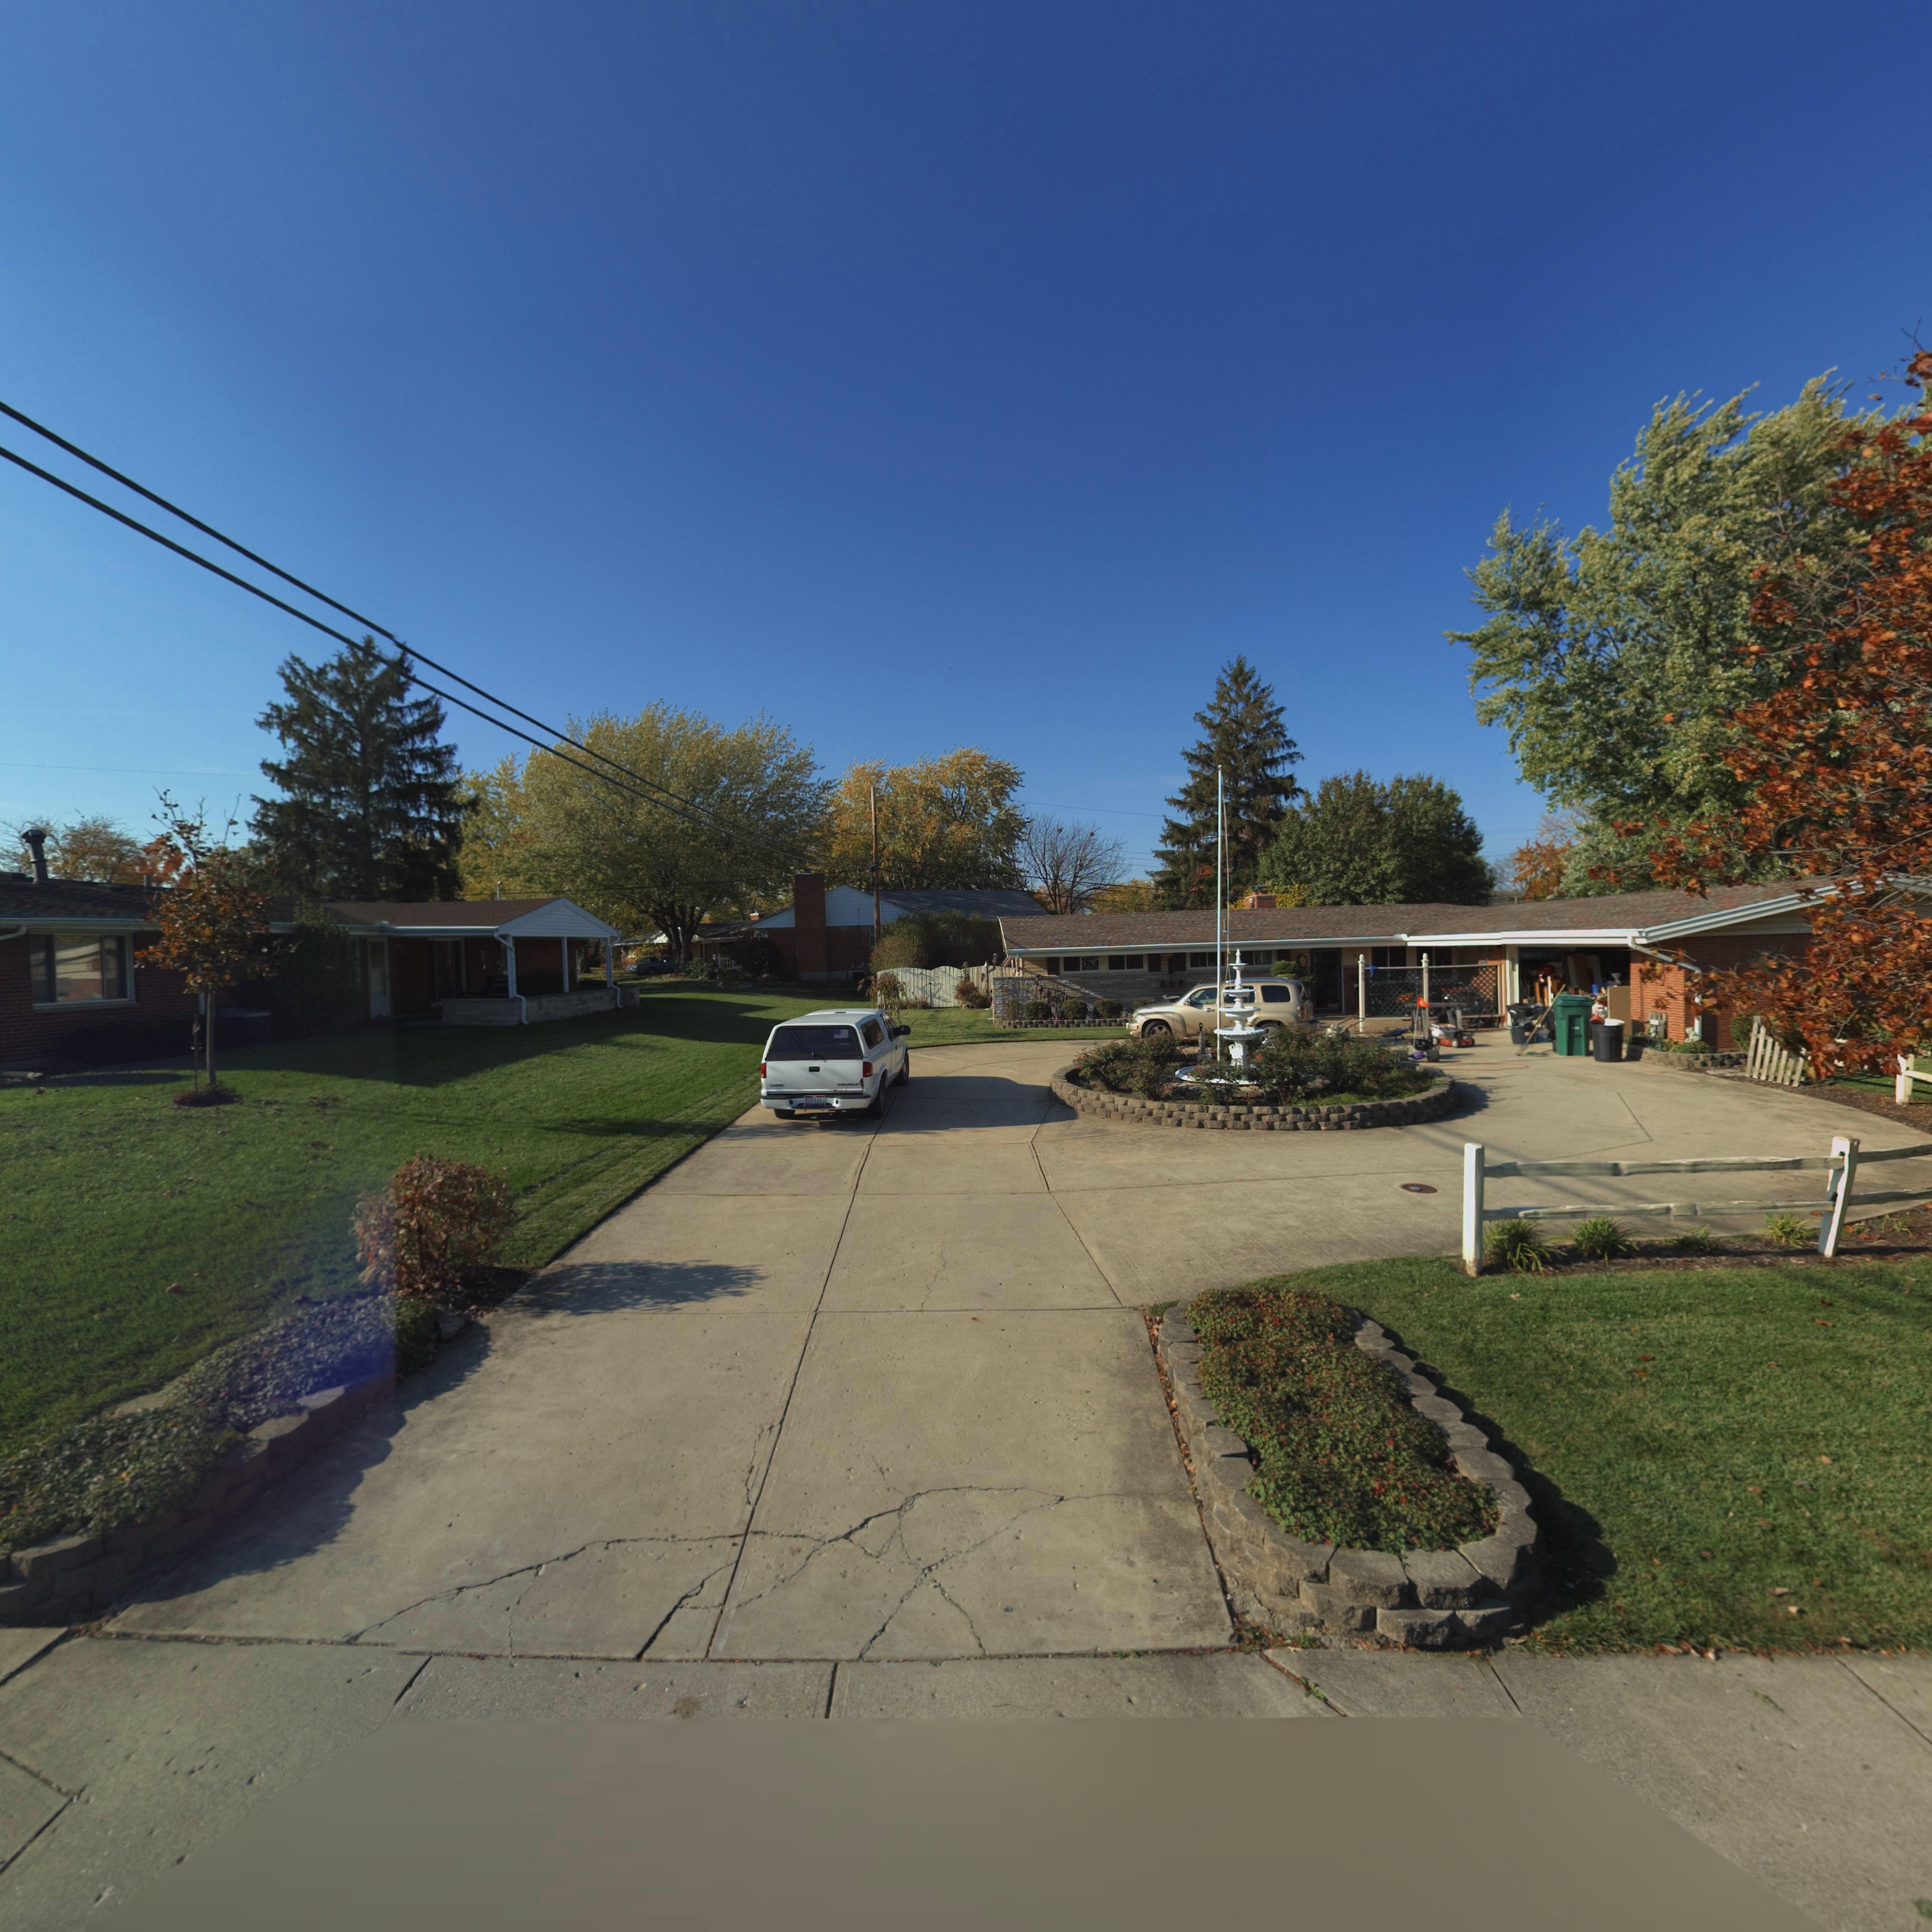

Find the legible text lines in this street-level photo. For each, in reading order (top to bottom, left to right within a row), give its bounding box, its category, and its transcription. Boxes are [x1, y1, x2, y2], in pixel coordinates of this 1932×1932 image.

[1349, 948, 1358, 960] StreetNumber: 7*